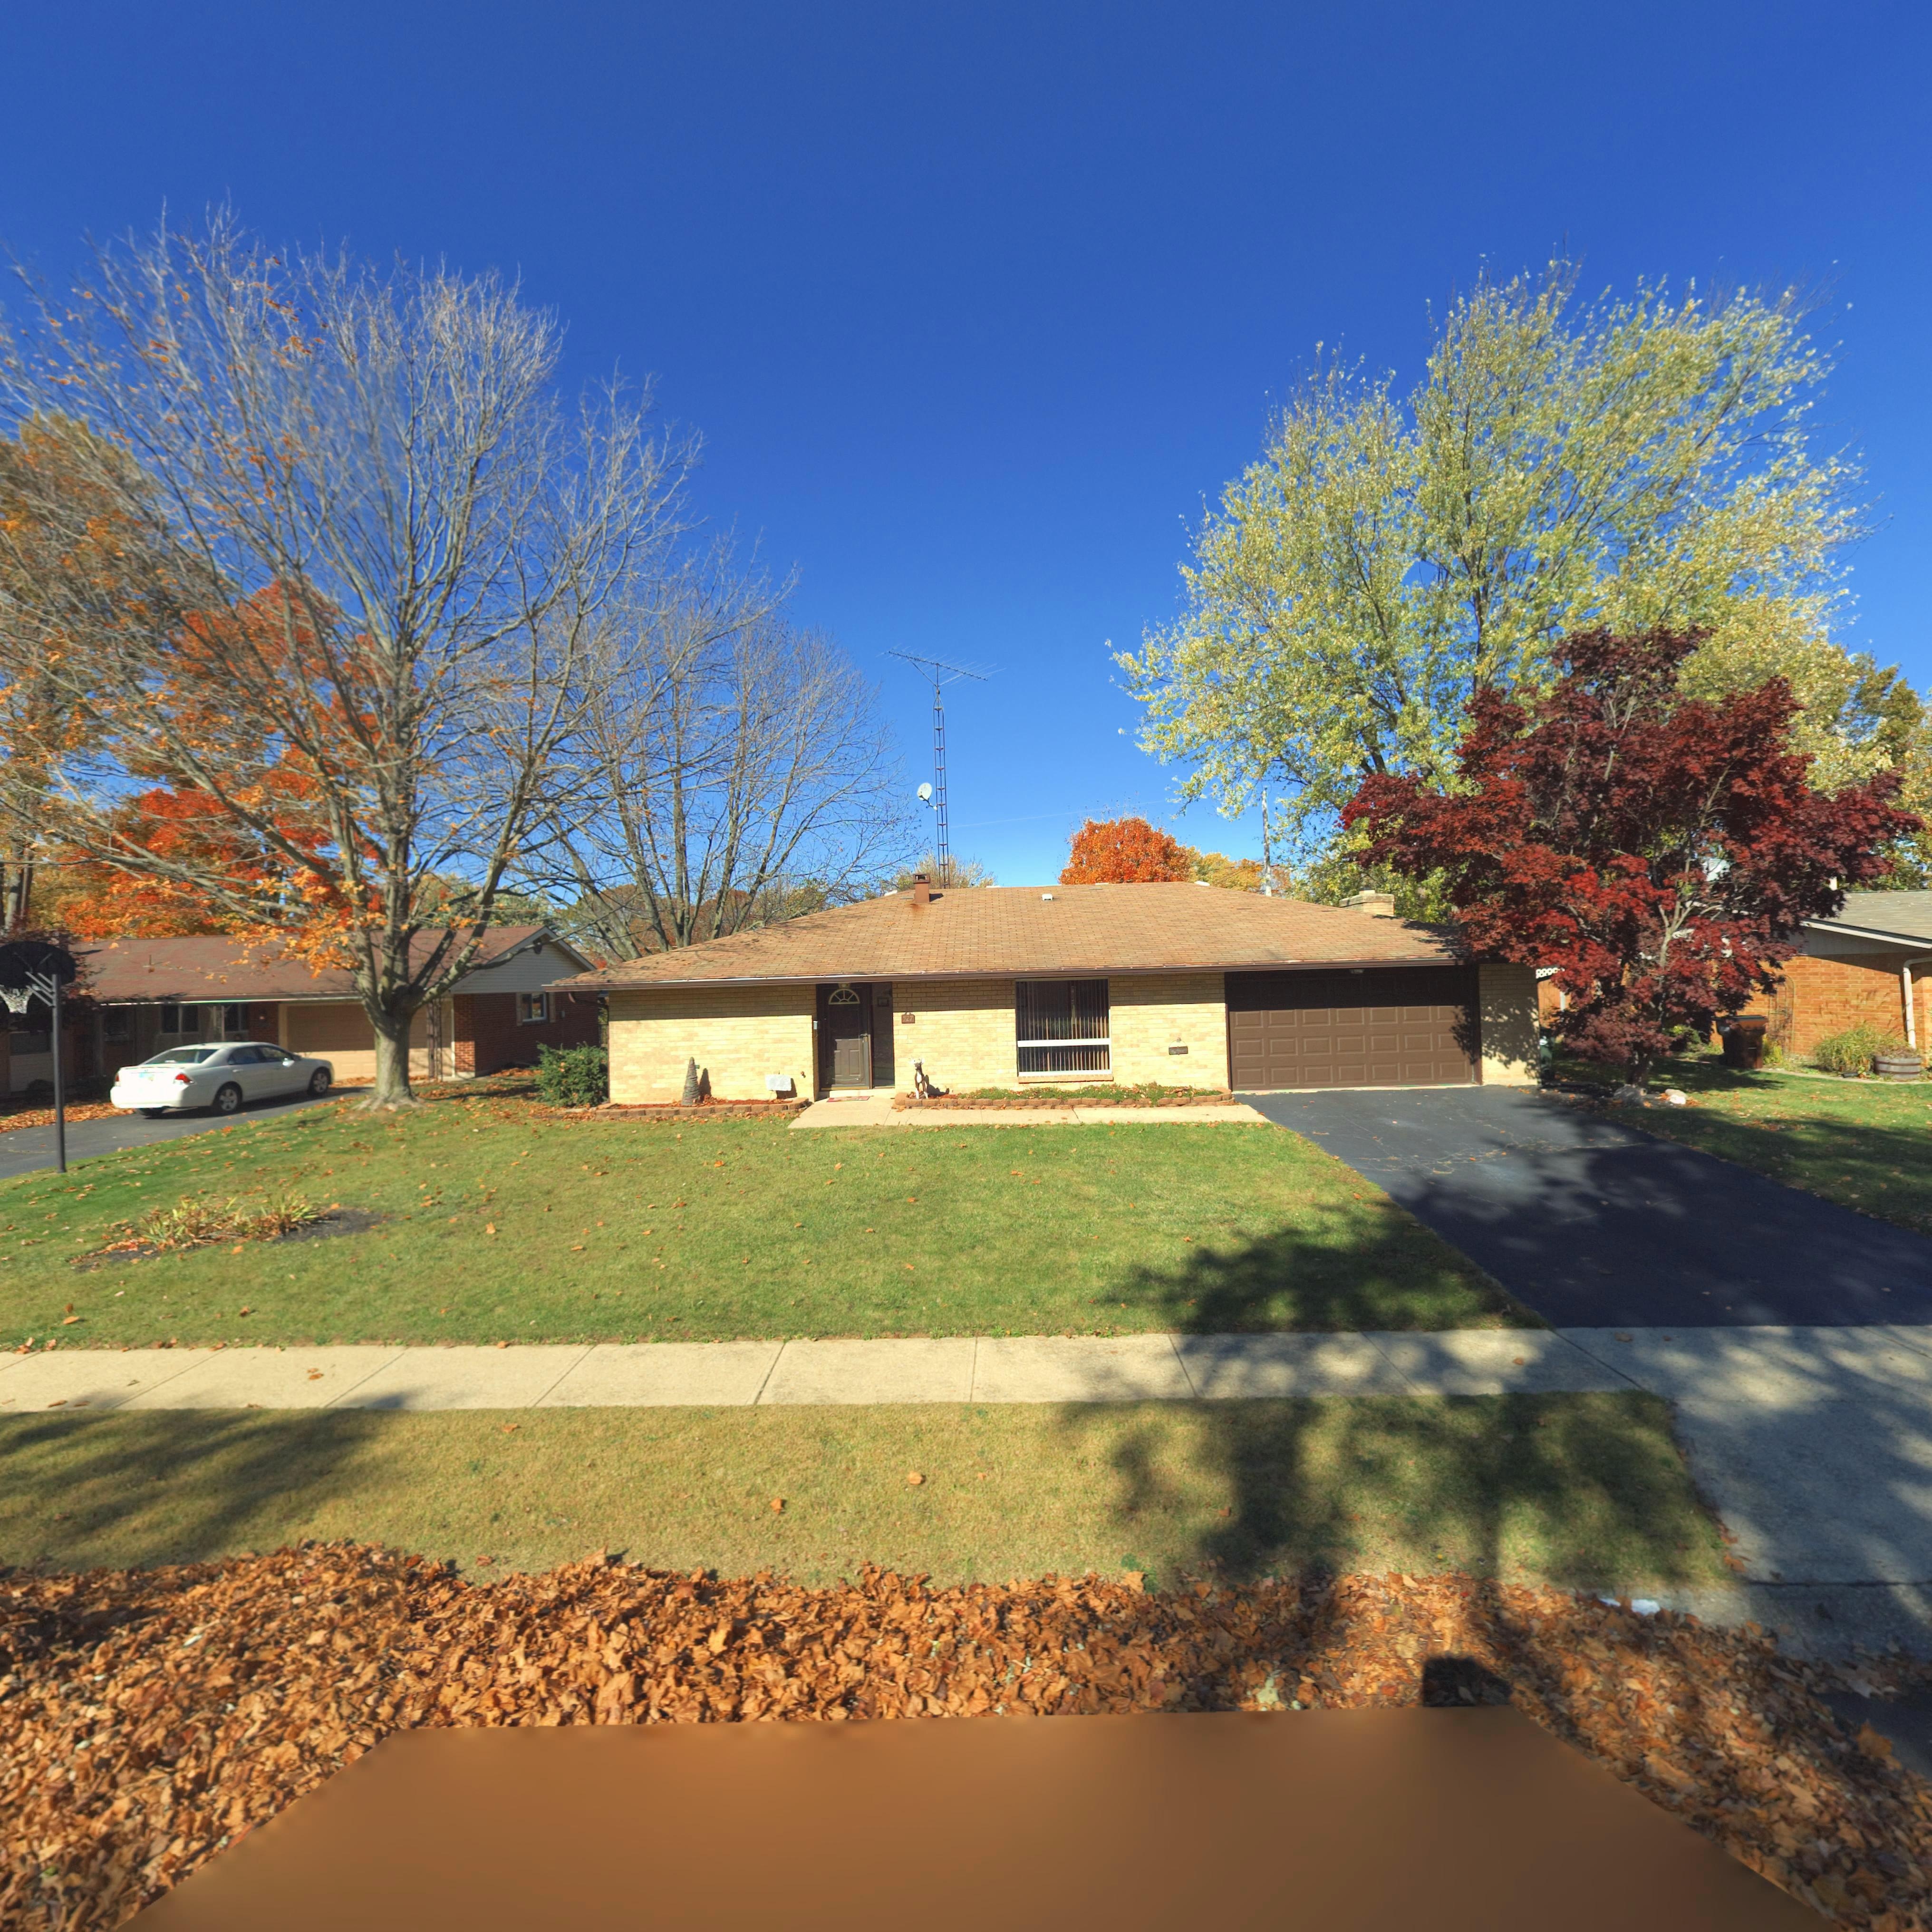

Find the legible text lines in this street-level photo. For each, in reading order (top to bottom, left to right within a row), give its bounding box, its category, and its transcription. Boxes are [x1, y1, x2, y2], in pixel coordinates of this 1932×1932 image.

[901, 1014, 915, 1023] StreetNumber: 327